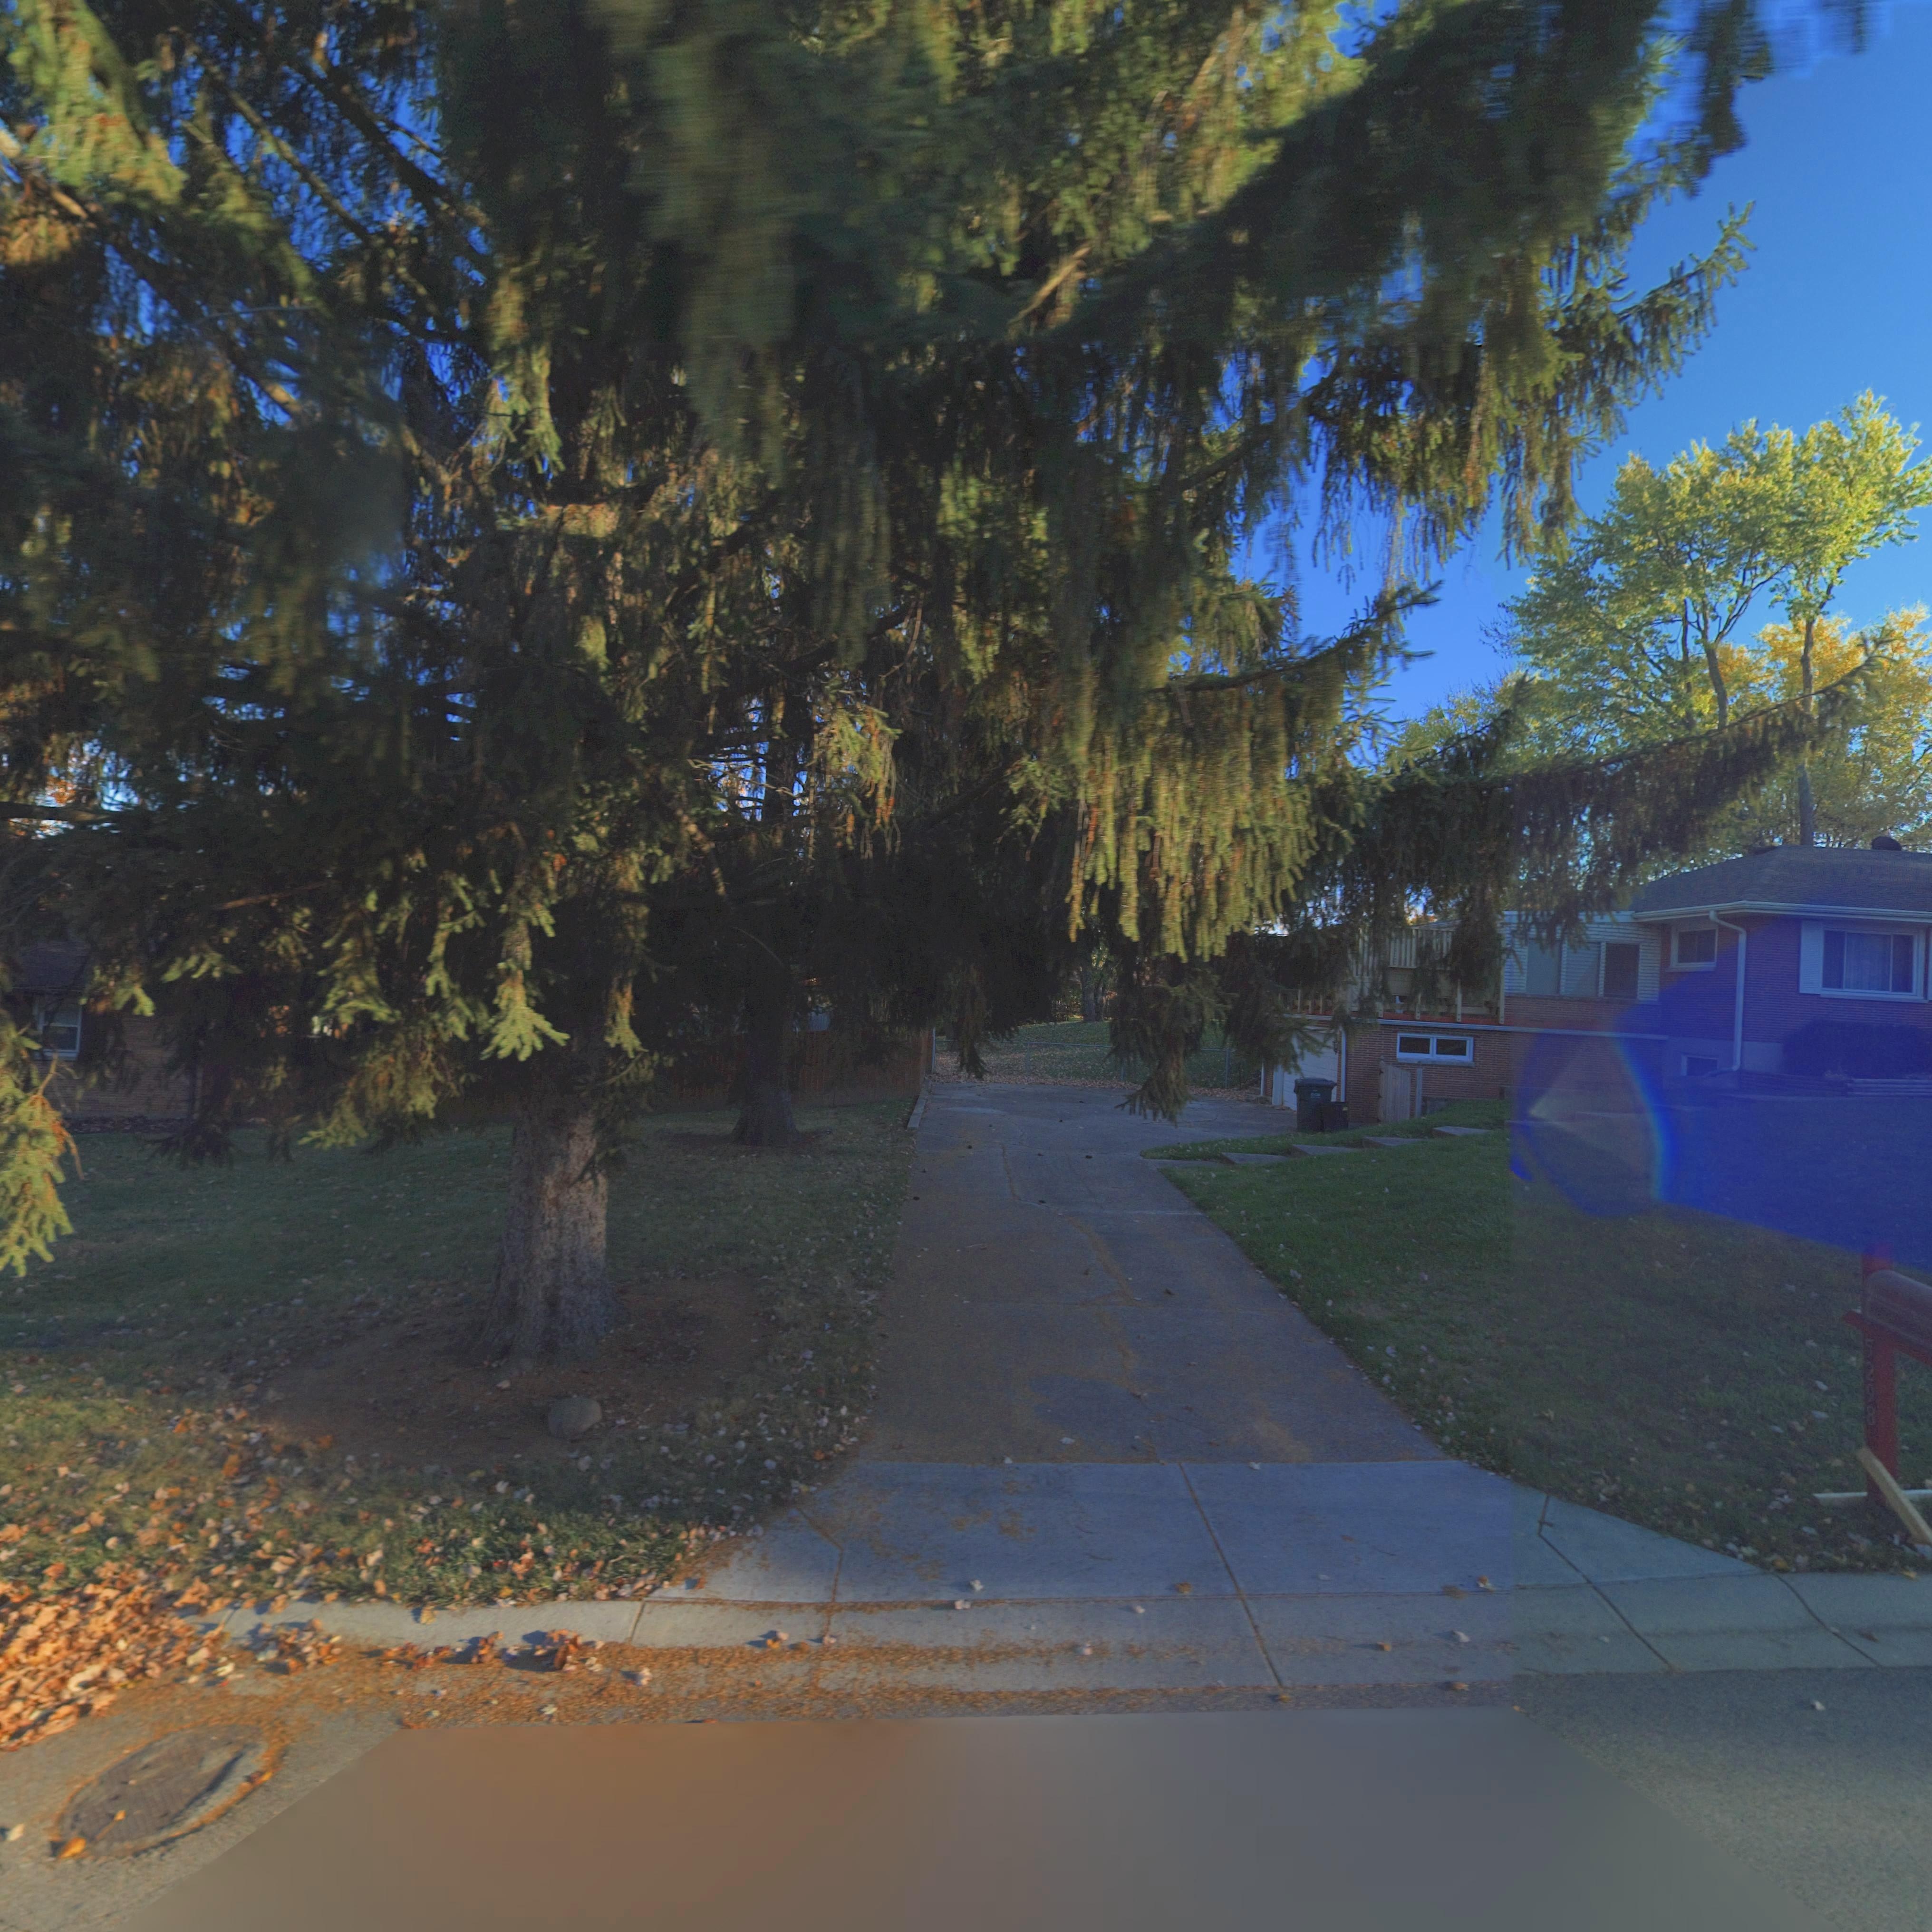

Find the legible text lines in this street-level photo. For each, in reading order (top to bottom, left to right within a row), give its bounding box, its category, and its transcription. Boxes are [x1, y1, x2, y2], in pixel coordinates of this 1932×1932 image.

[1863, 1336, 1877, 1429] StreetNumber: 5298